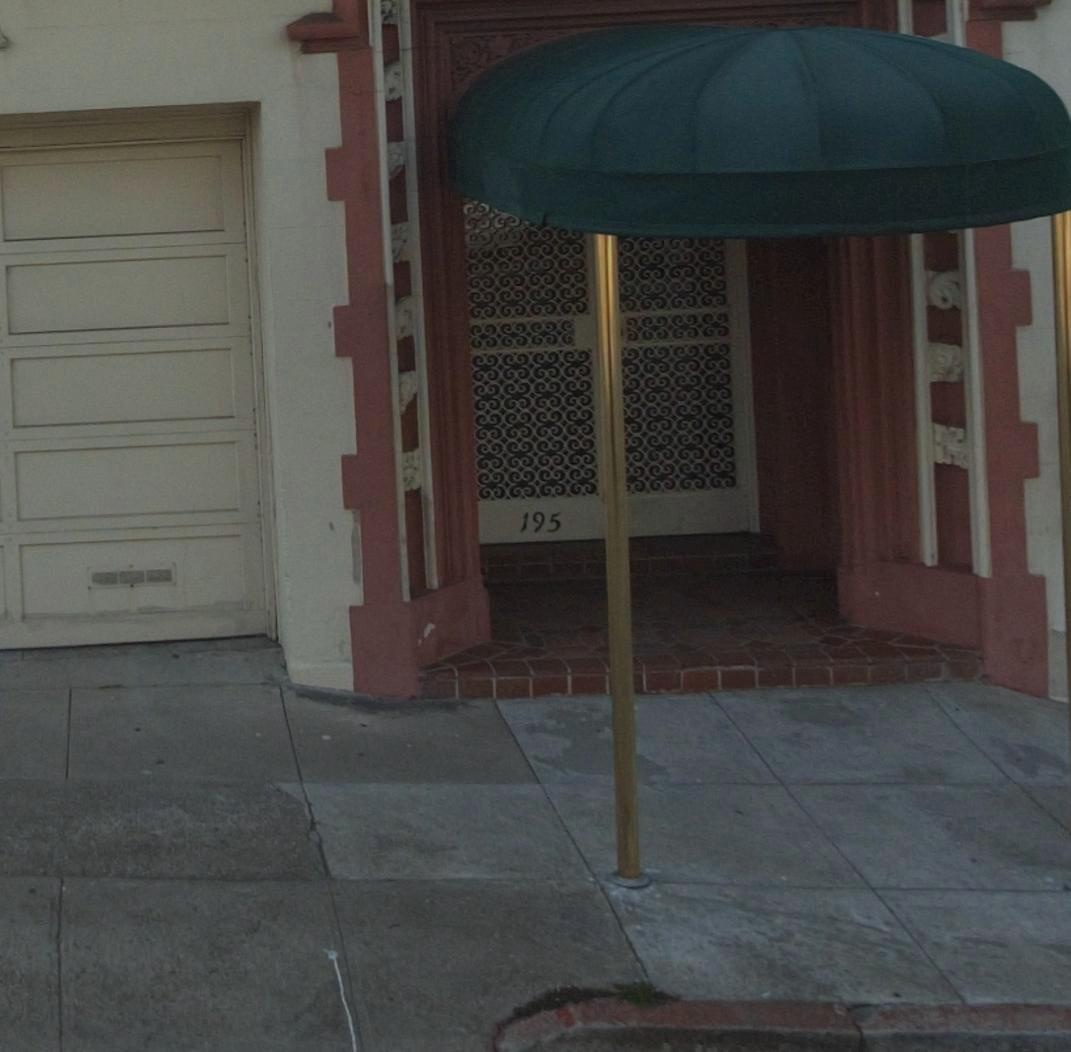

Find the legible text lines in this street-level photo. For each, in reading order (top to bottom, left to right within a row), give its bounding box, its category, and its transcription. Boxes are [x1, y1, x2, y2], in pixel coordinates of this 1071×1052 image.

[516, 509, 566, 536] StreetNumber: 195